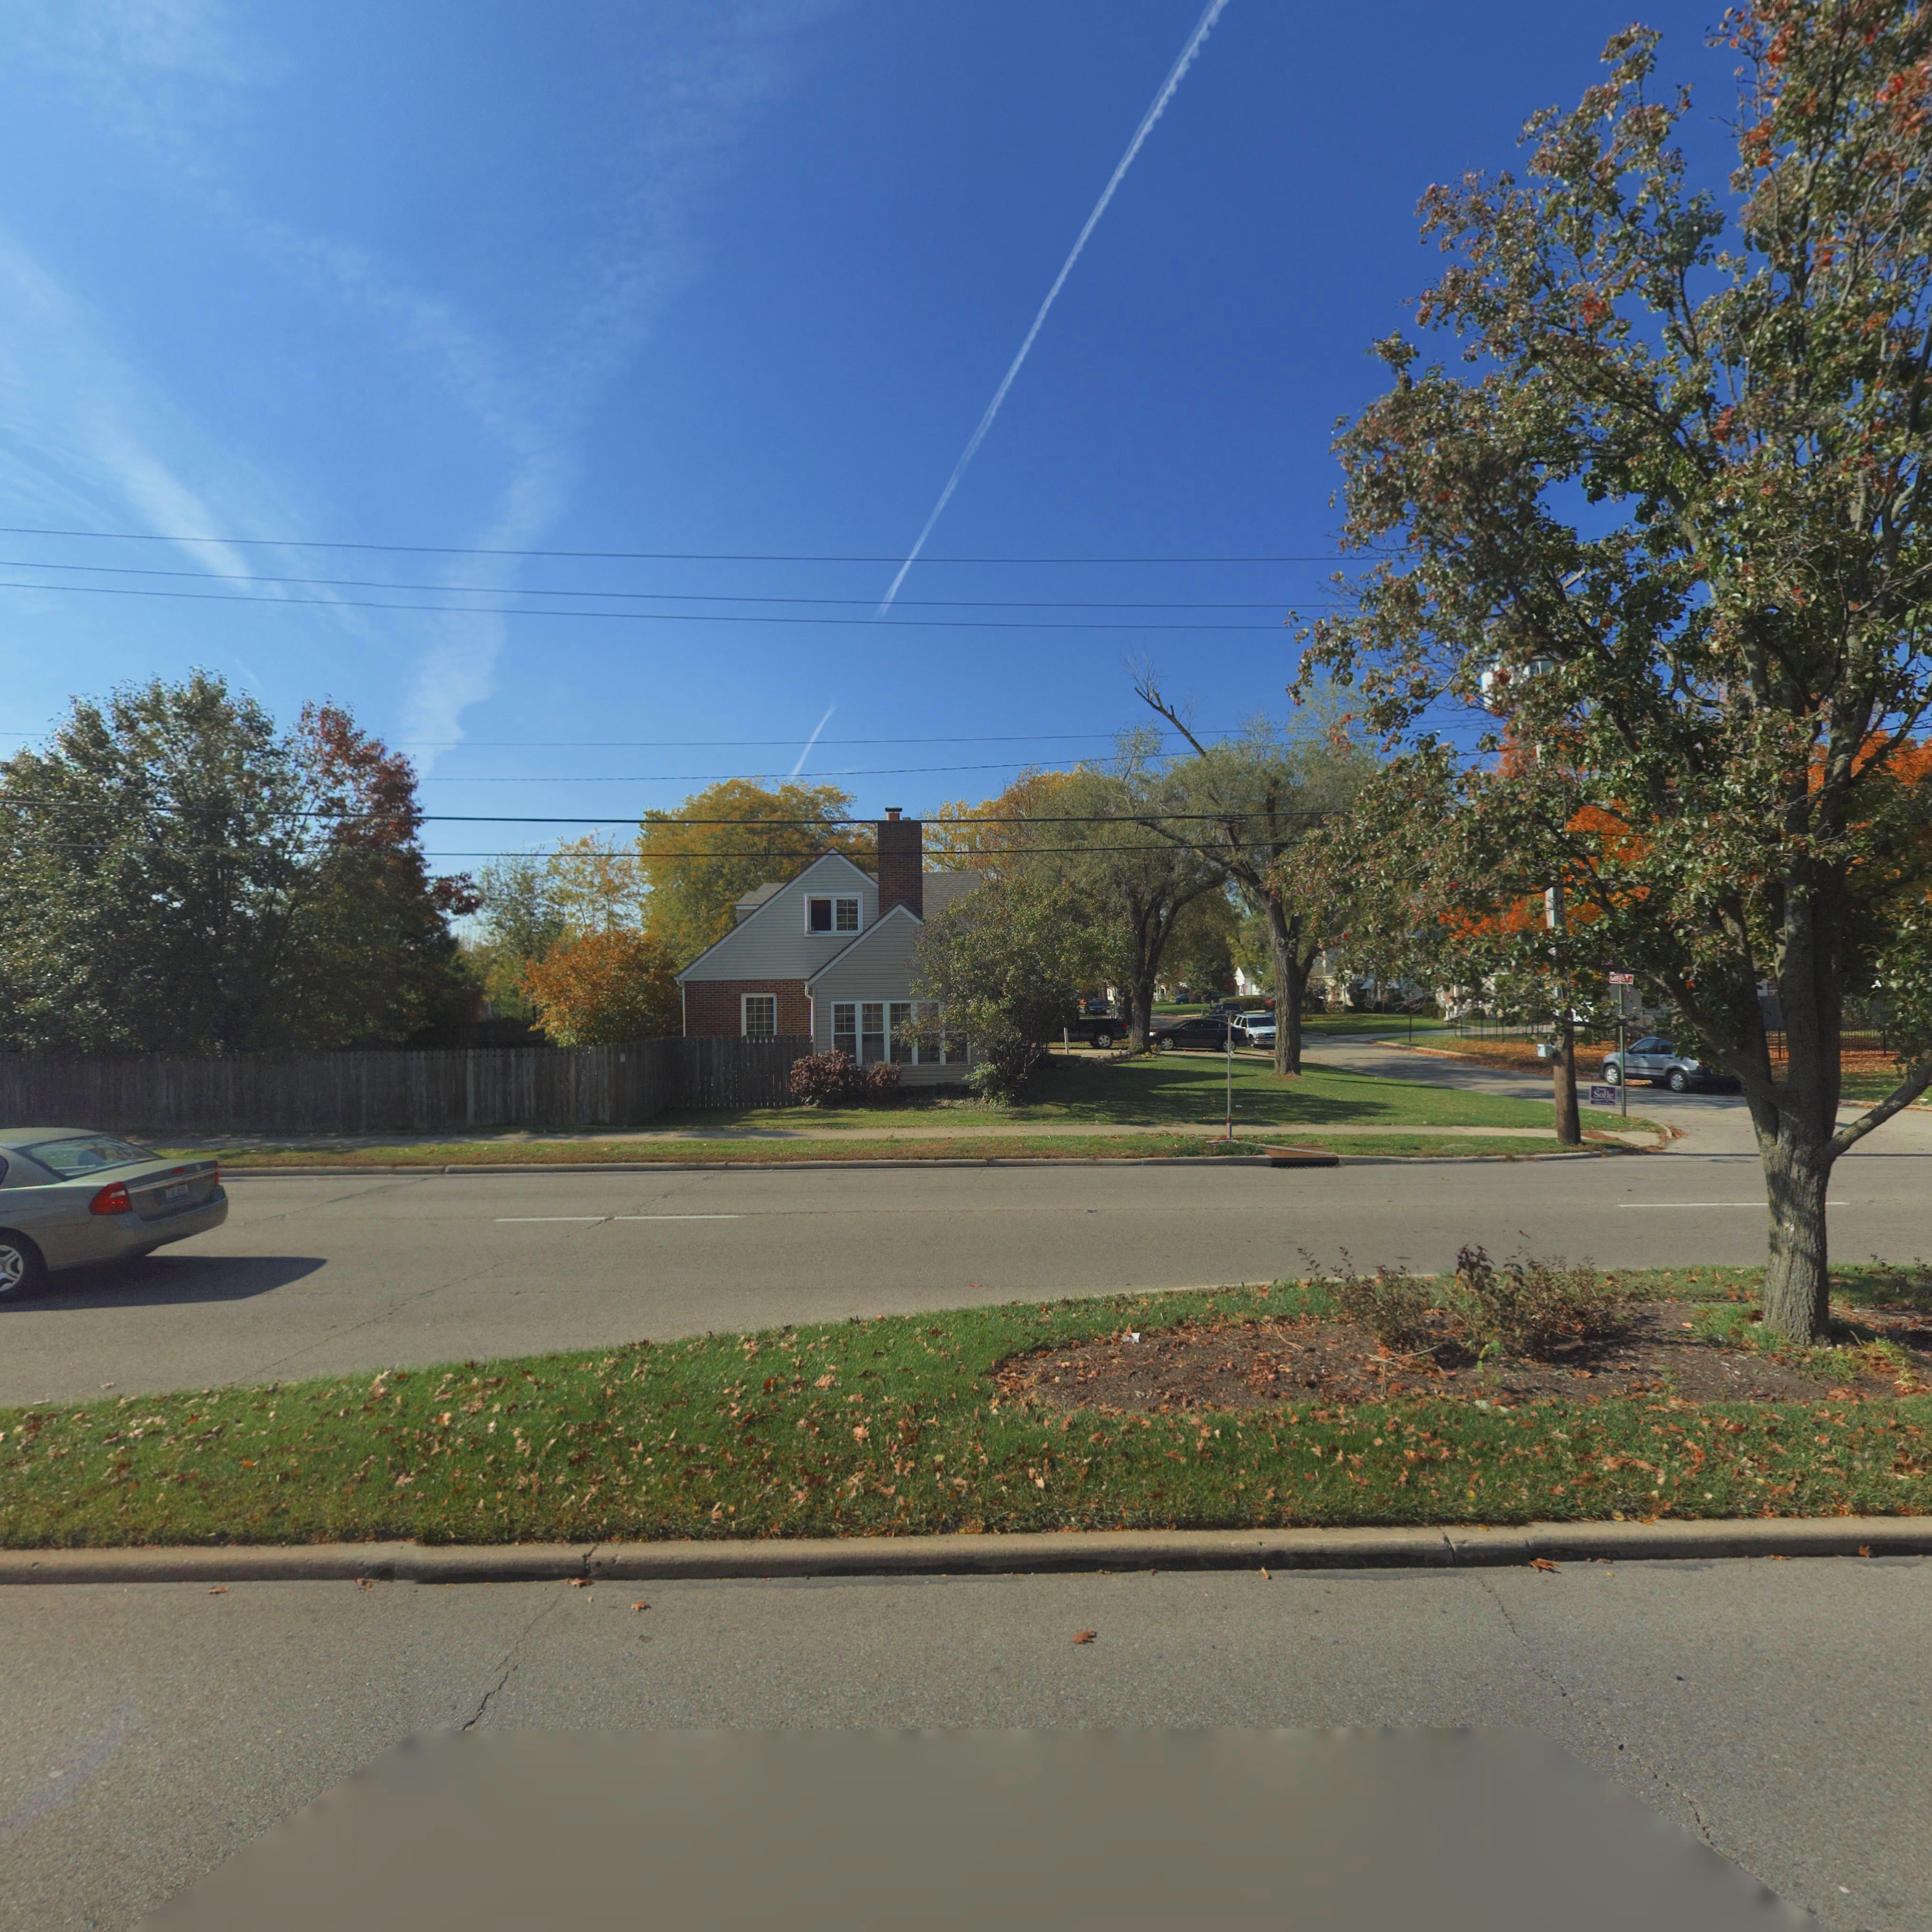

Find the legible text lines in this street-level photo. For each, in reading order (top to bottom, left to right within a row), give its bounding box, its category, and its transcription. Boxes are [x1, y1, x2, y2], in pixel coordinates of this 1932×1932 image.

[1593, 1090, 1614, 1099] None: Solle